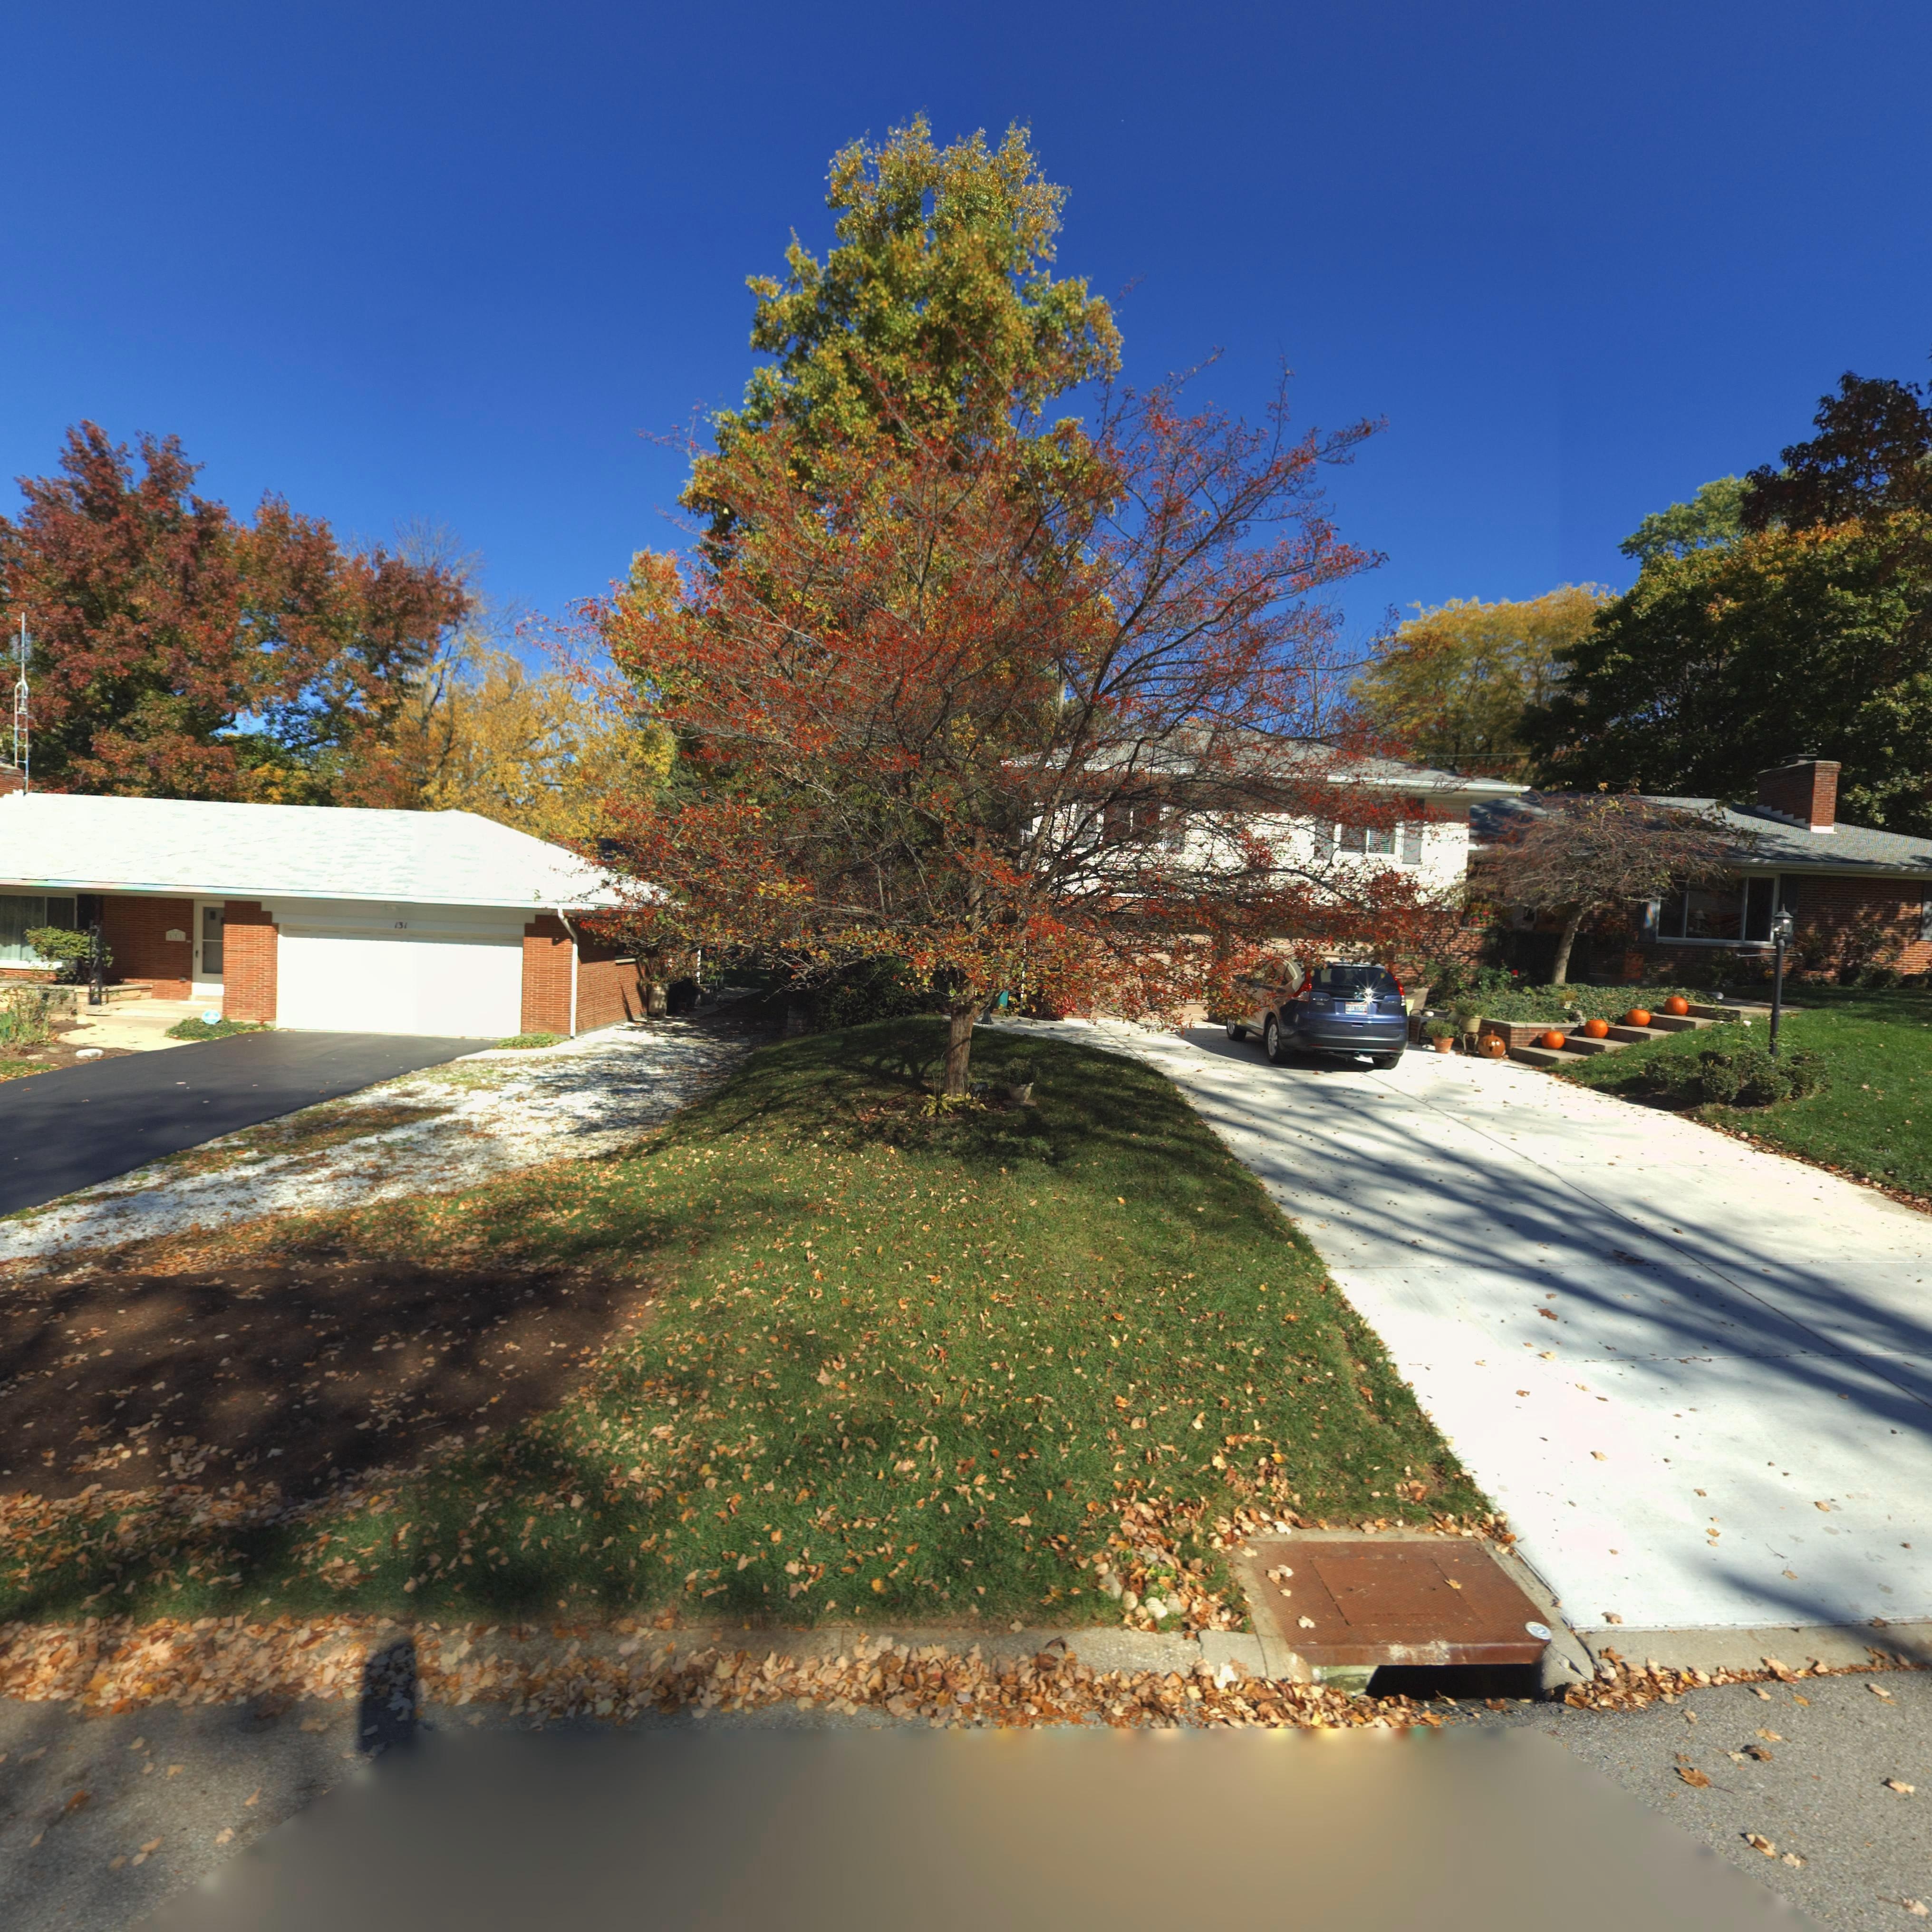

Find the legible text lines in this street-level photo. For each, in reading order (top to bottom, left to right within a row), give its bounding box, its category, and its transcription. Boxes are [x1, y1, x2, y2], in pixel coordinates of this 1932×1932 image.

[394, 921, 408, 929] StreetNumber: 131
[167, 933, 183, 939] StreetNumber: 131